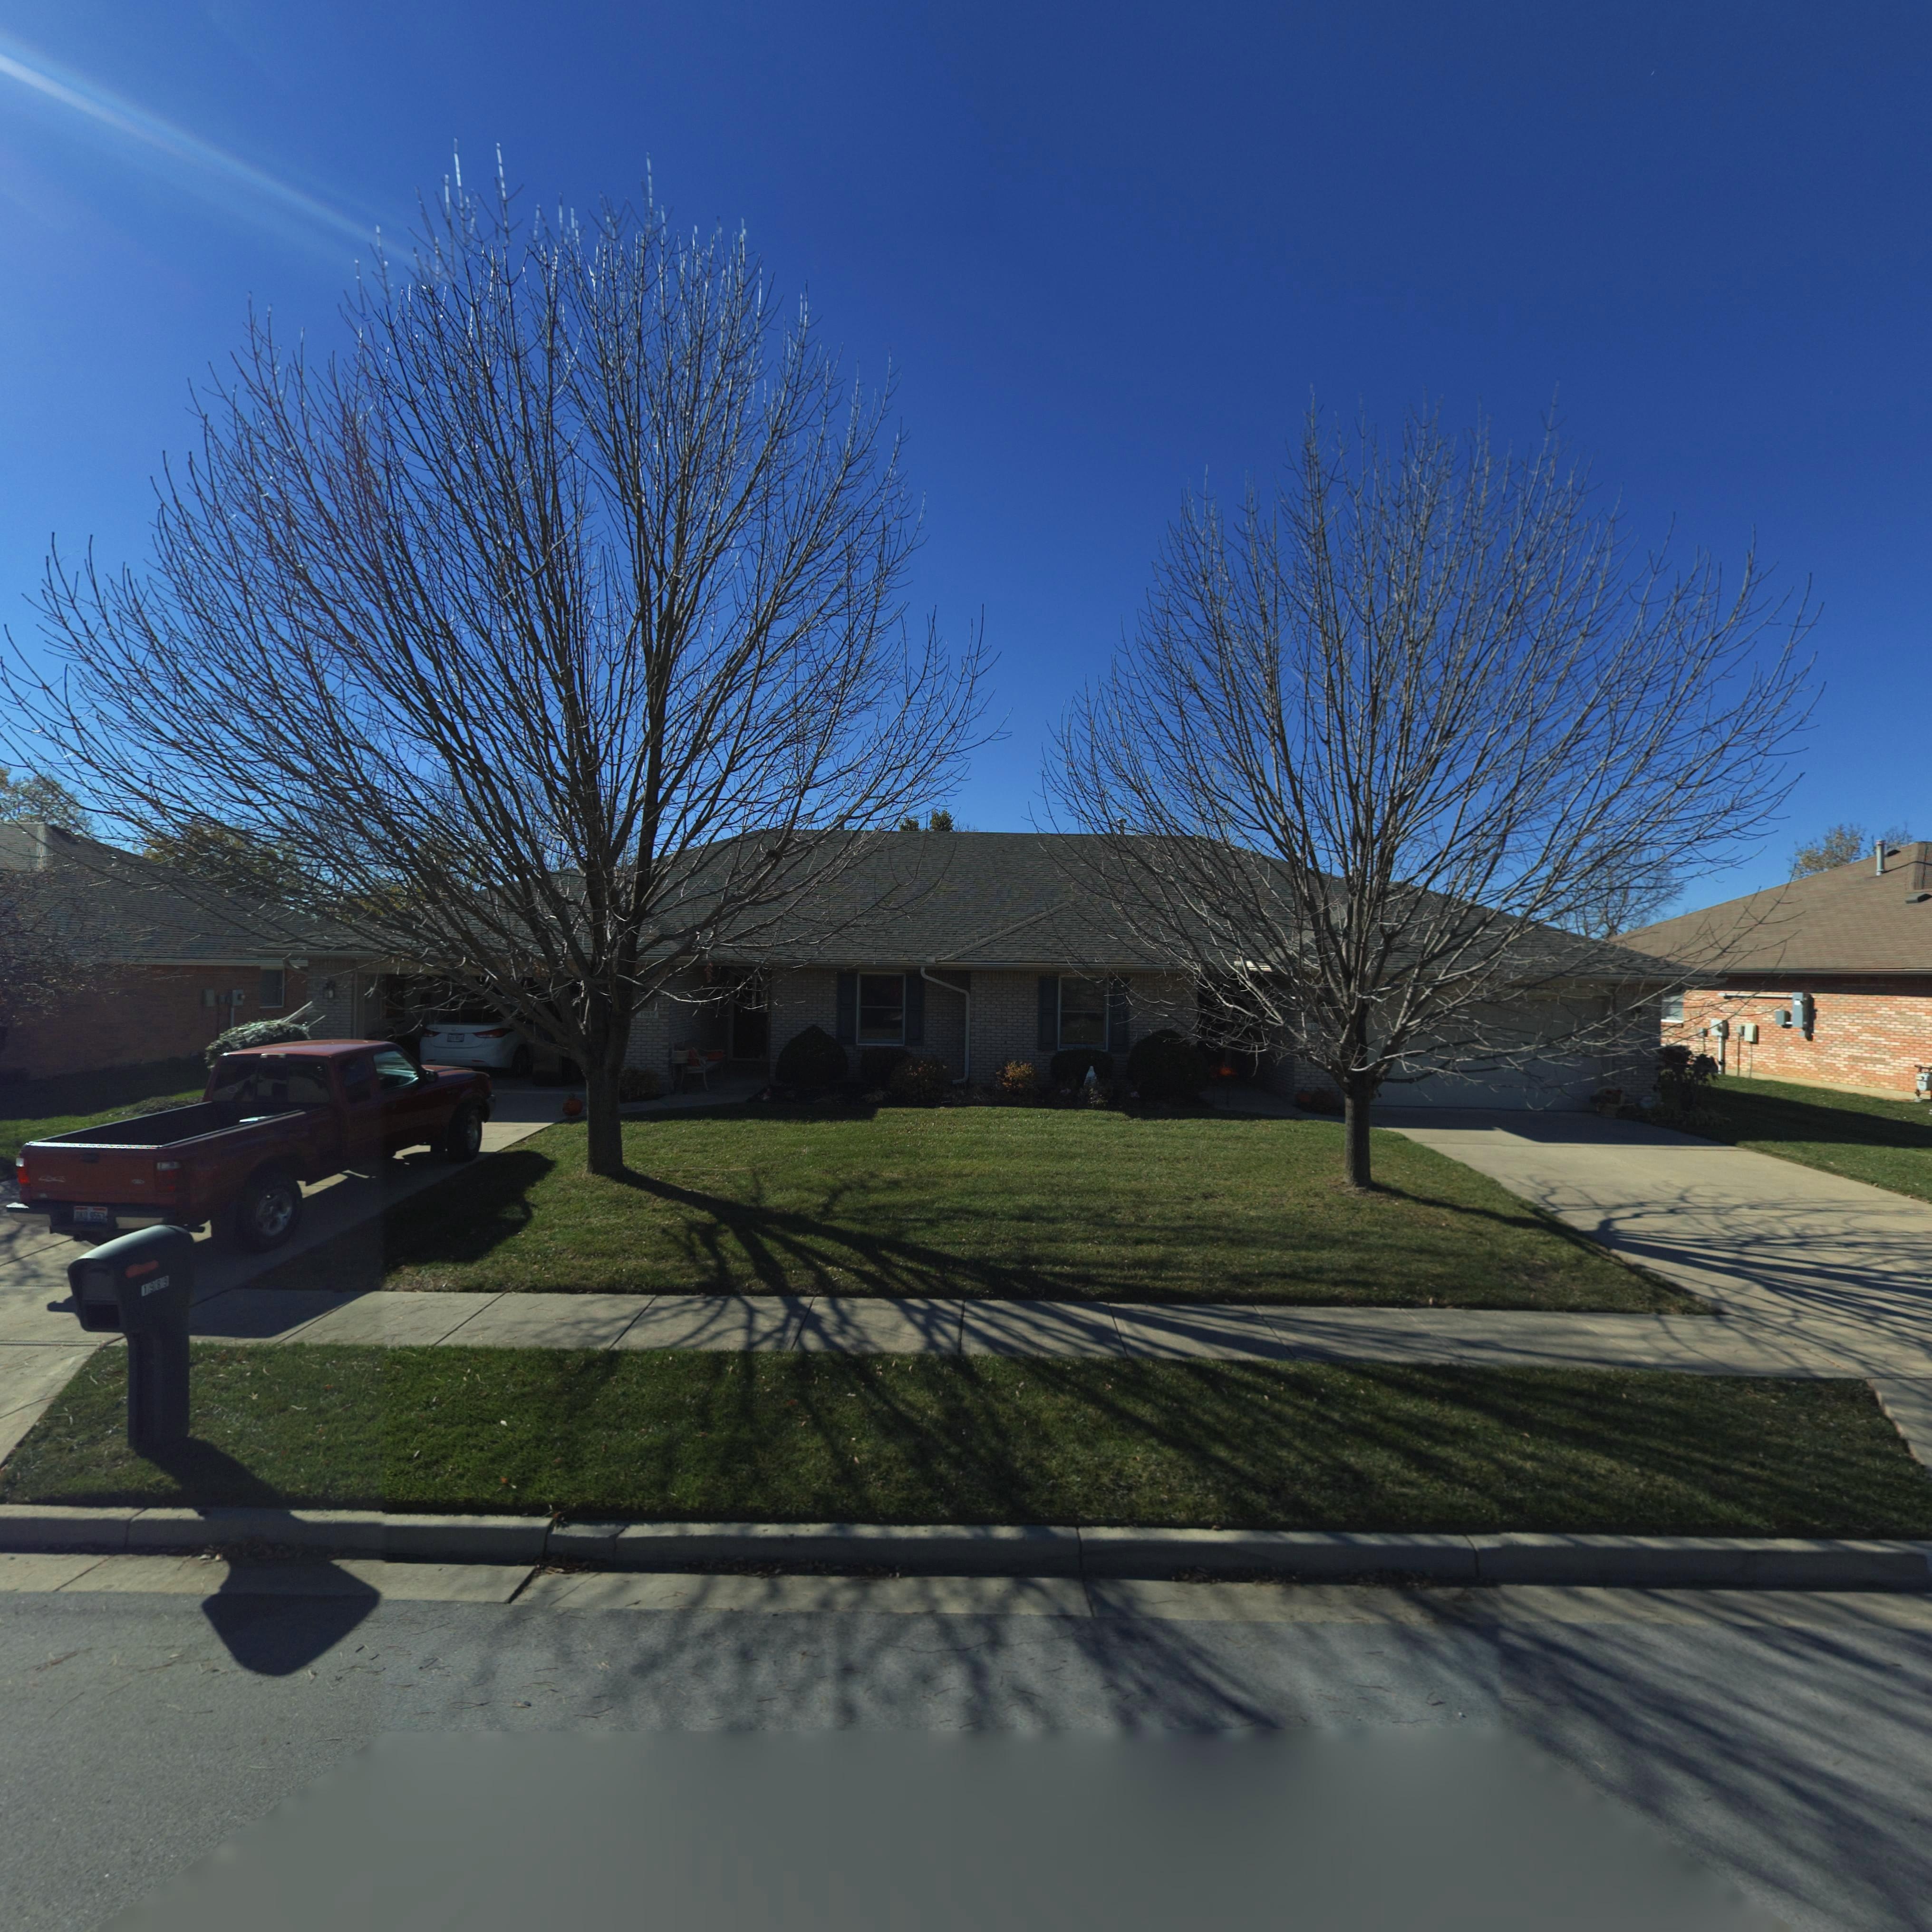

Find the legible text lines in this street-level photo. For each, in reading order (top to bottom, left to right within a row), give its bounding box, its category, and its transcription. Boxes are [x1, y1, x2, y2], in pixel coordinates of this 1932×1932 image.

[640, 1011, 656, 1018] StreetNumber: 1989
[143, 1275, 169, 1297] StreetNumber: 1989